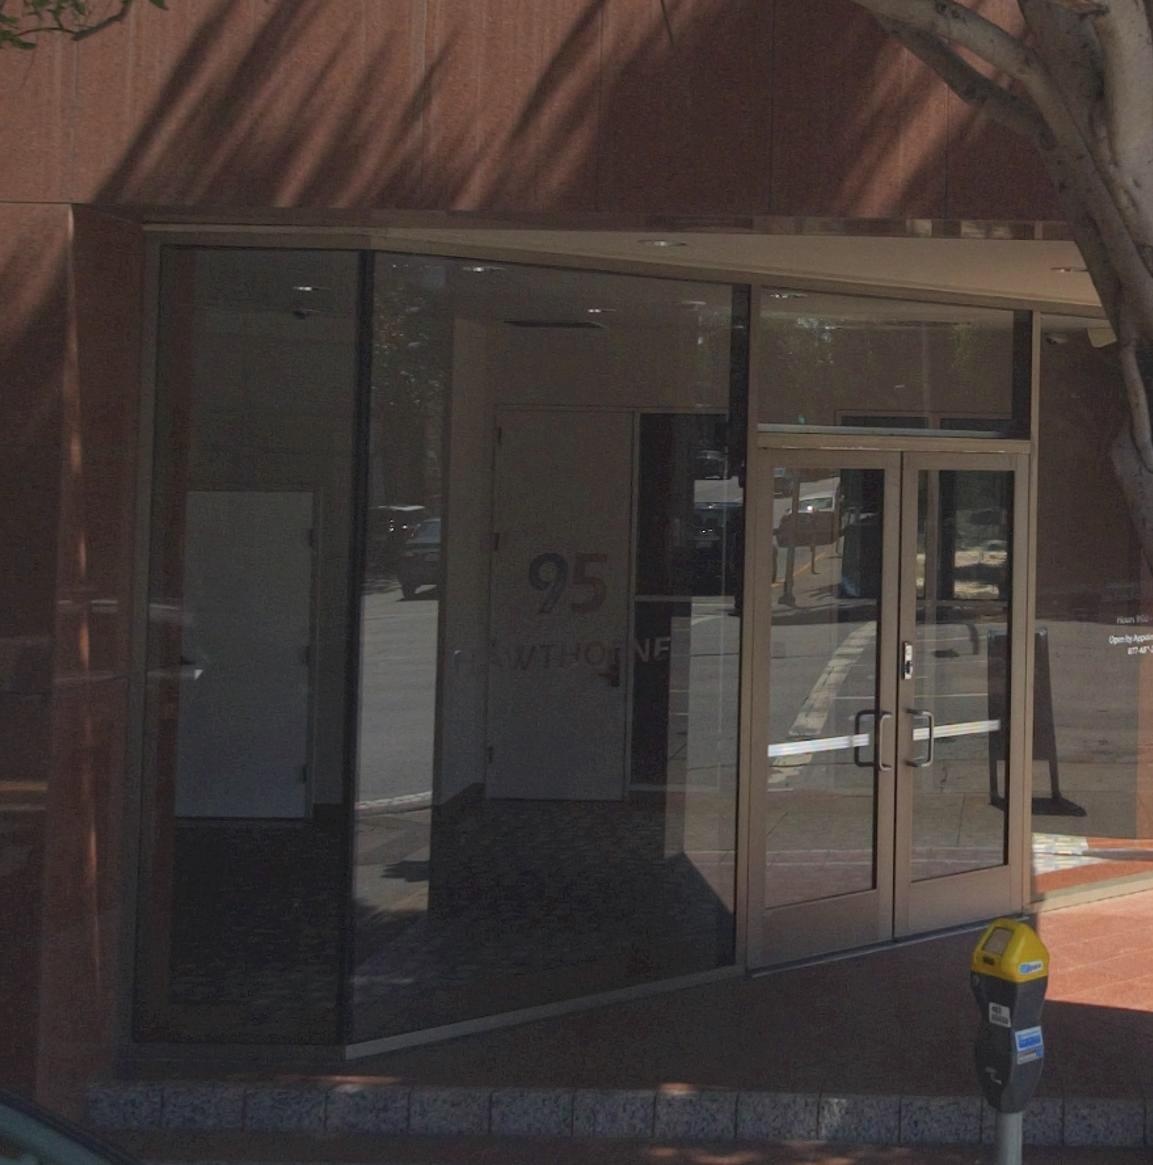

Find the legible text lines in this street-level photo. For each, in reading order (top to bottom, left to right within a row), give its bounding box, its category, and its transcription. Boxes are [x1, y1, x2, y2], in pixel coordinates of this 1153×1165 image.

[526, 550, 609, 615] StreetNumber: 95
[503, 640, 610, 673] None: WTHO